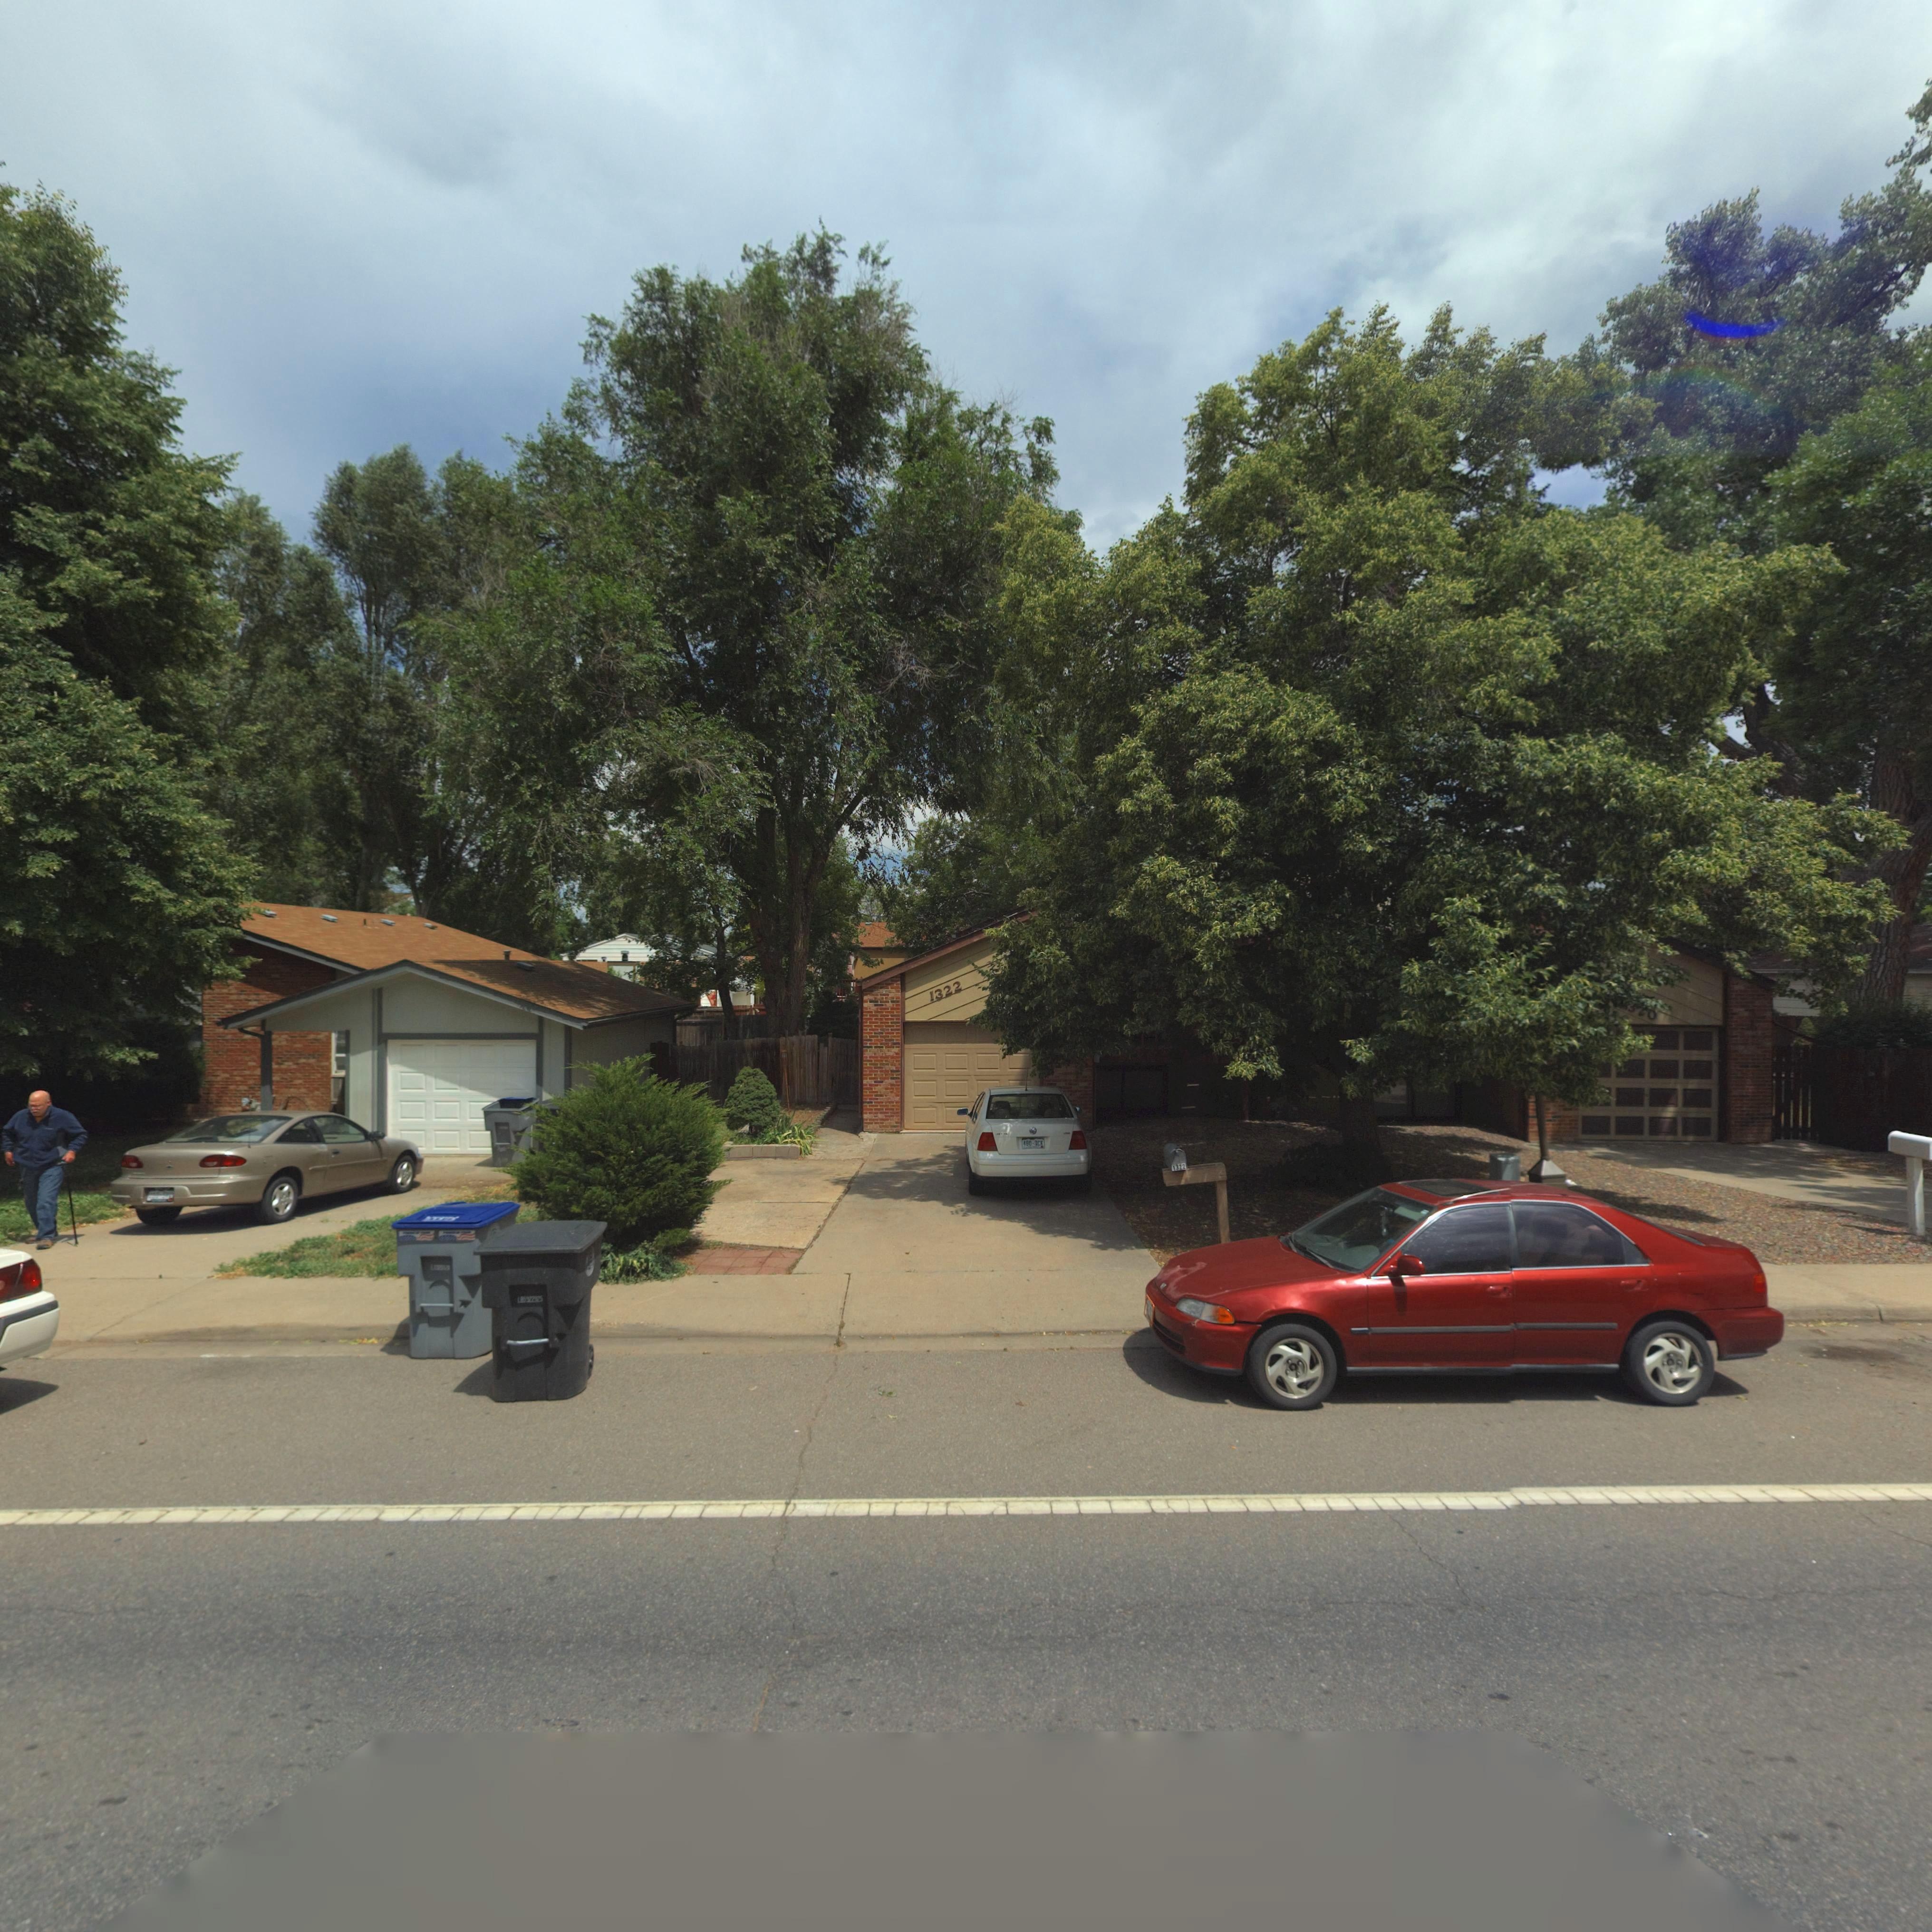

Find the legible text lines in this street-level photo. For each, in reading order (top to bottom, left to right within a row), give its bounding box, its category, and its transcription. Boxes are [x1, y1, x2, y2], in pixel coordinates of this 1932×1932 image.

[928, 980, 962, 1002] StreetNumber: 1322
[1647, 1008, 1657, 1021] StreetNumber: 0
[1172, 1163, 1186, 1170] StreetNumber: 1322